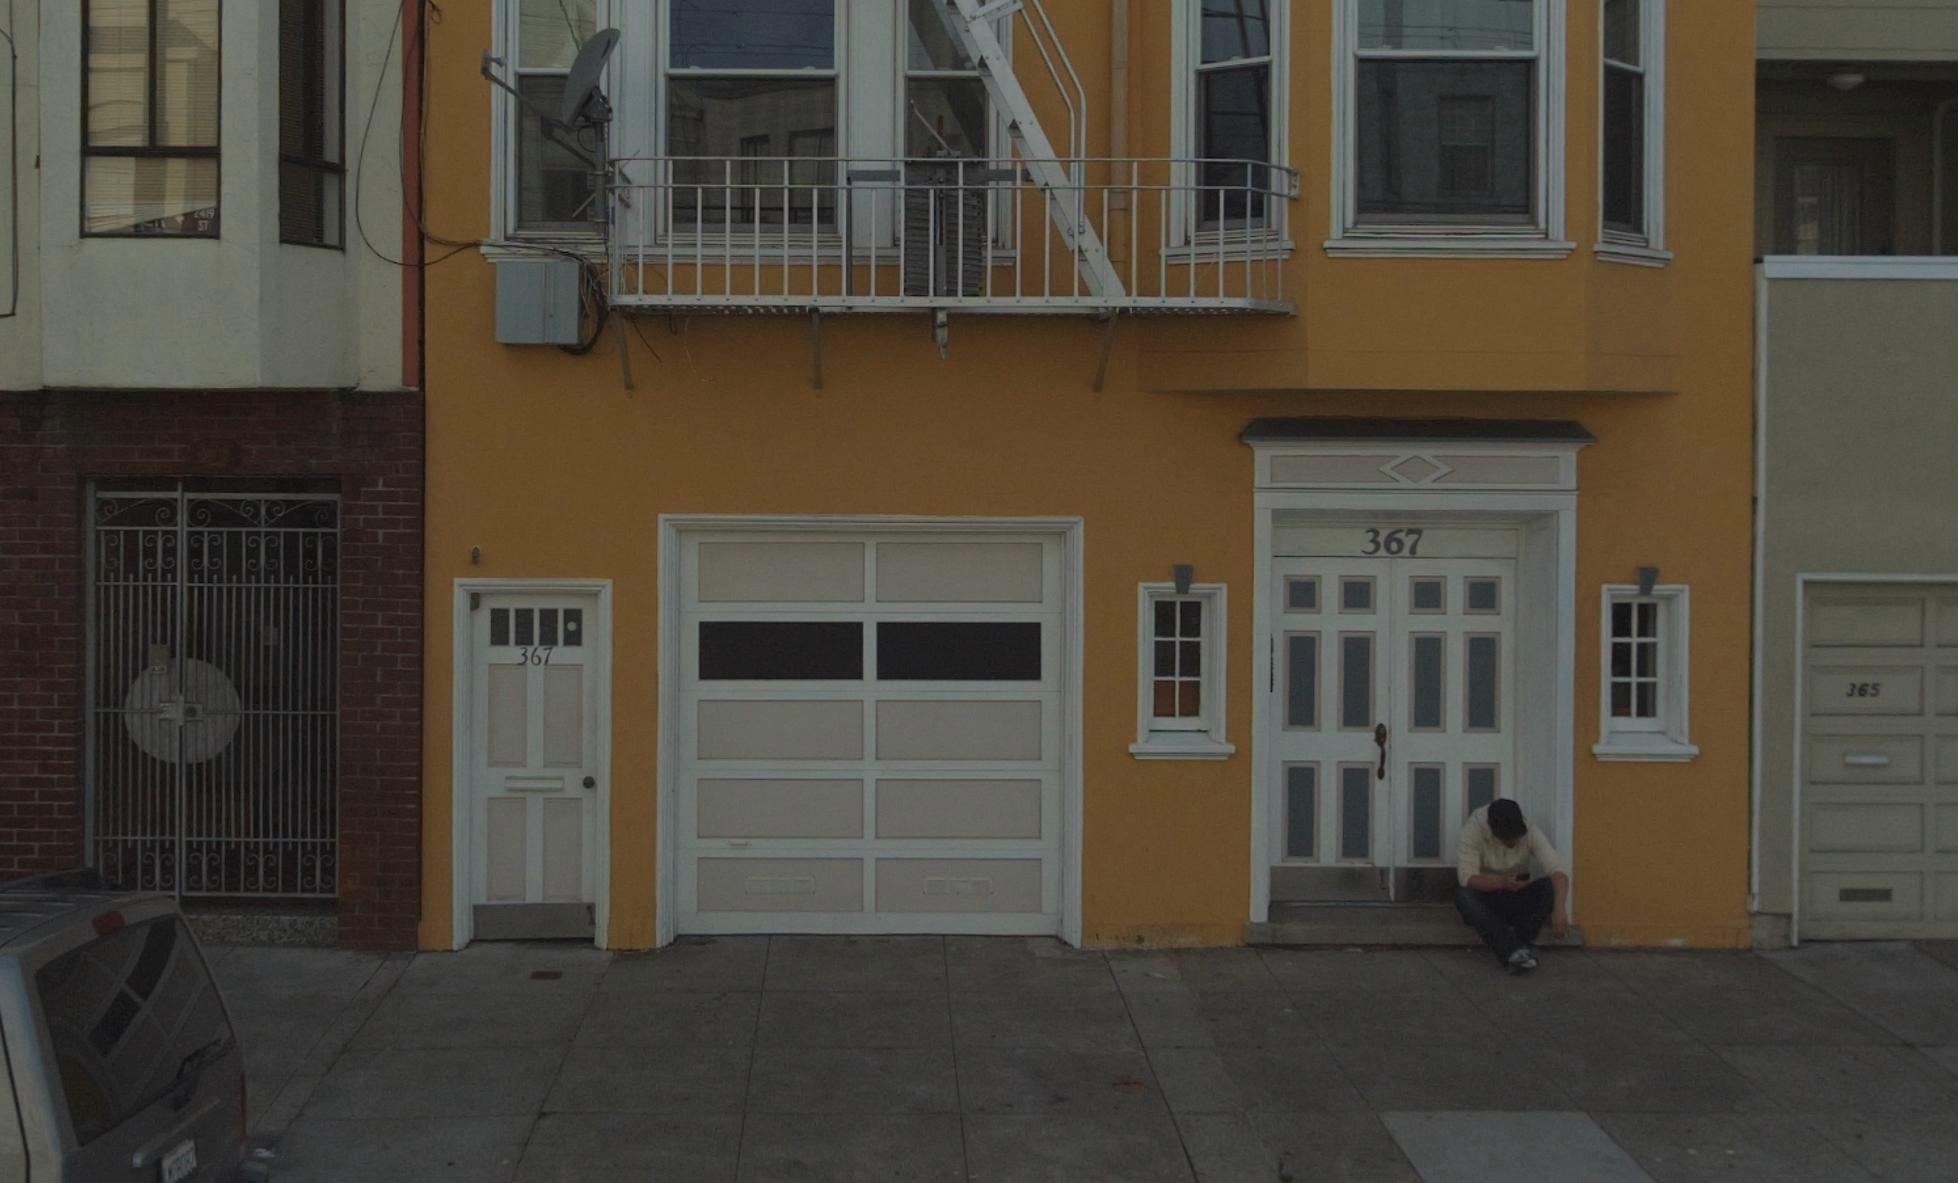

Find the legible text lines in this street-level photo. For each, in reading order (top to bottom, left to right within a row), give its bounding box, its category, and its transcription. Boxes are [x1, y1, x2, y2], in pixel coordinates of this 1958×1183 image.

[1359, 526, 1425, 557] StreetNumber: 367
[515, 645, 554, 667] StreetNumber: 367
[1844, 680, 1881, 699] StreetNumber: 365